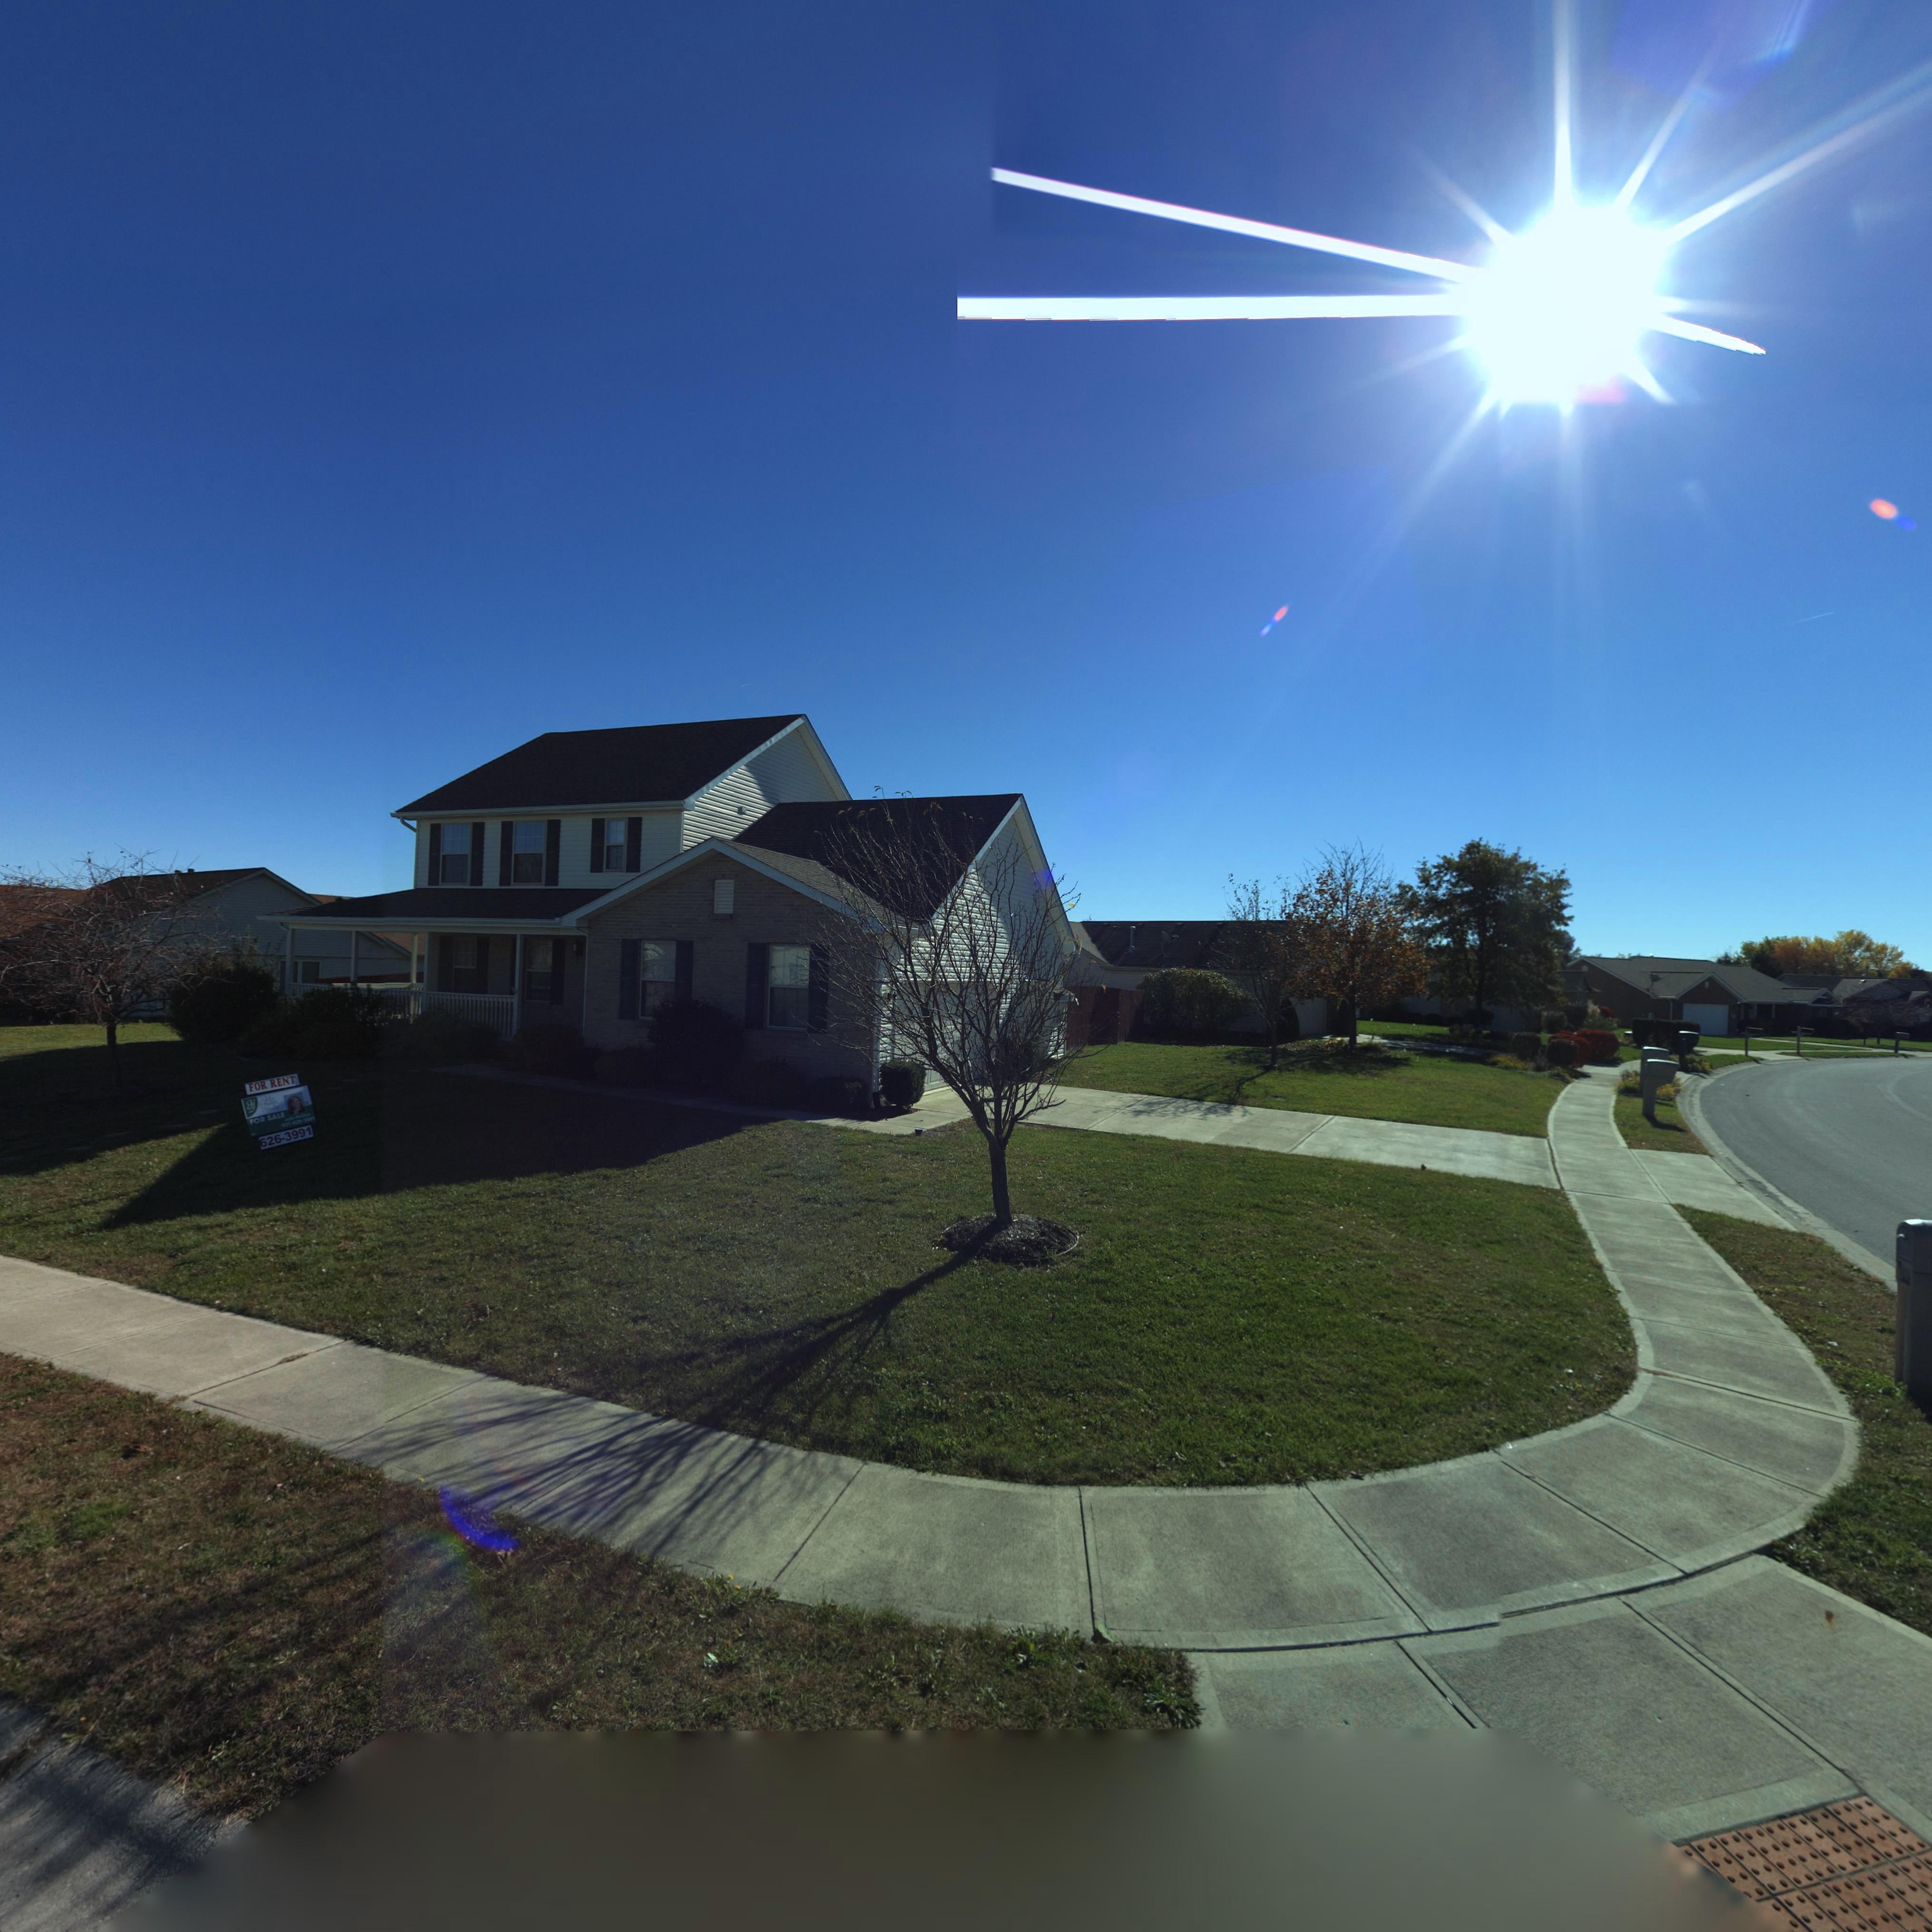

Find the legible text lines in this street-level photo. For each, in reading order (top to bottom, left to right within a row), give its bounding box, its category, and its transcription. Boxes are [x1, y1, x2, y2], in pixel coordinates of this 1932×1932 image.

[547, 927, 560, 935] StreetNumber: 153
[247, 1073, 298, 1094] None: FOR RENT
[249, 1111, 287, 1127] None: FOR SALE
[259, 1124, 314, 1150] None: 626-3991